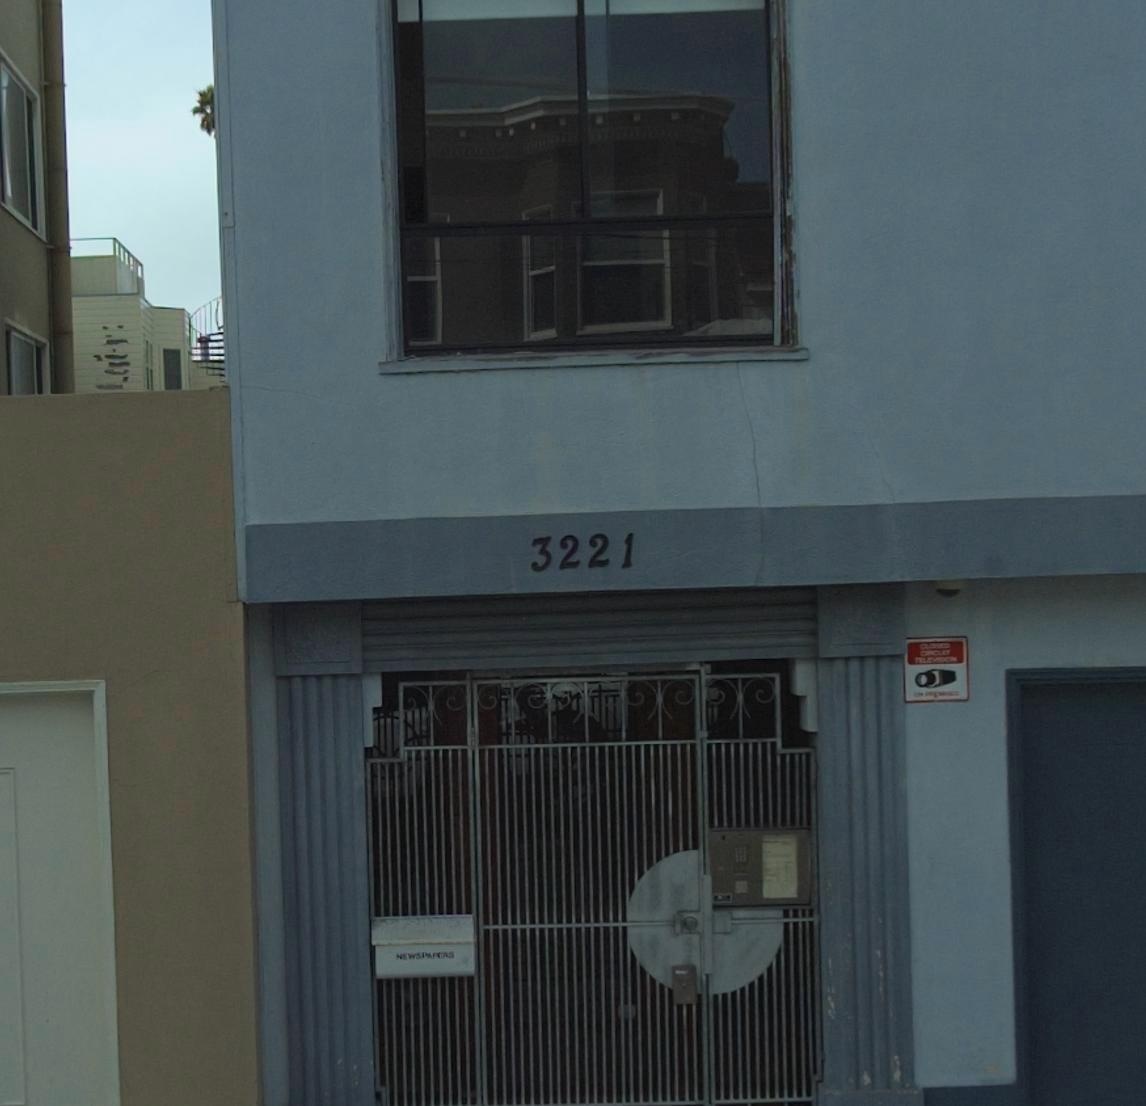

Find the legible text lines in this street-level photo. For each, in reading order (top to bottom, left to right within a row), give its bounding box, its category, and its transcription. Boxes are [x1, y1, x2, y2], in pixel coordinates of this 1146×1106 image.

[529, 529, 638, 575] StreetNumber: 3221
[394, 950, 423, 963] None: NEWS